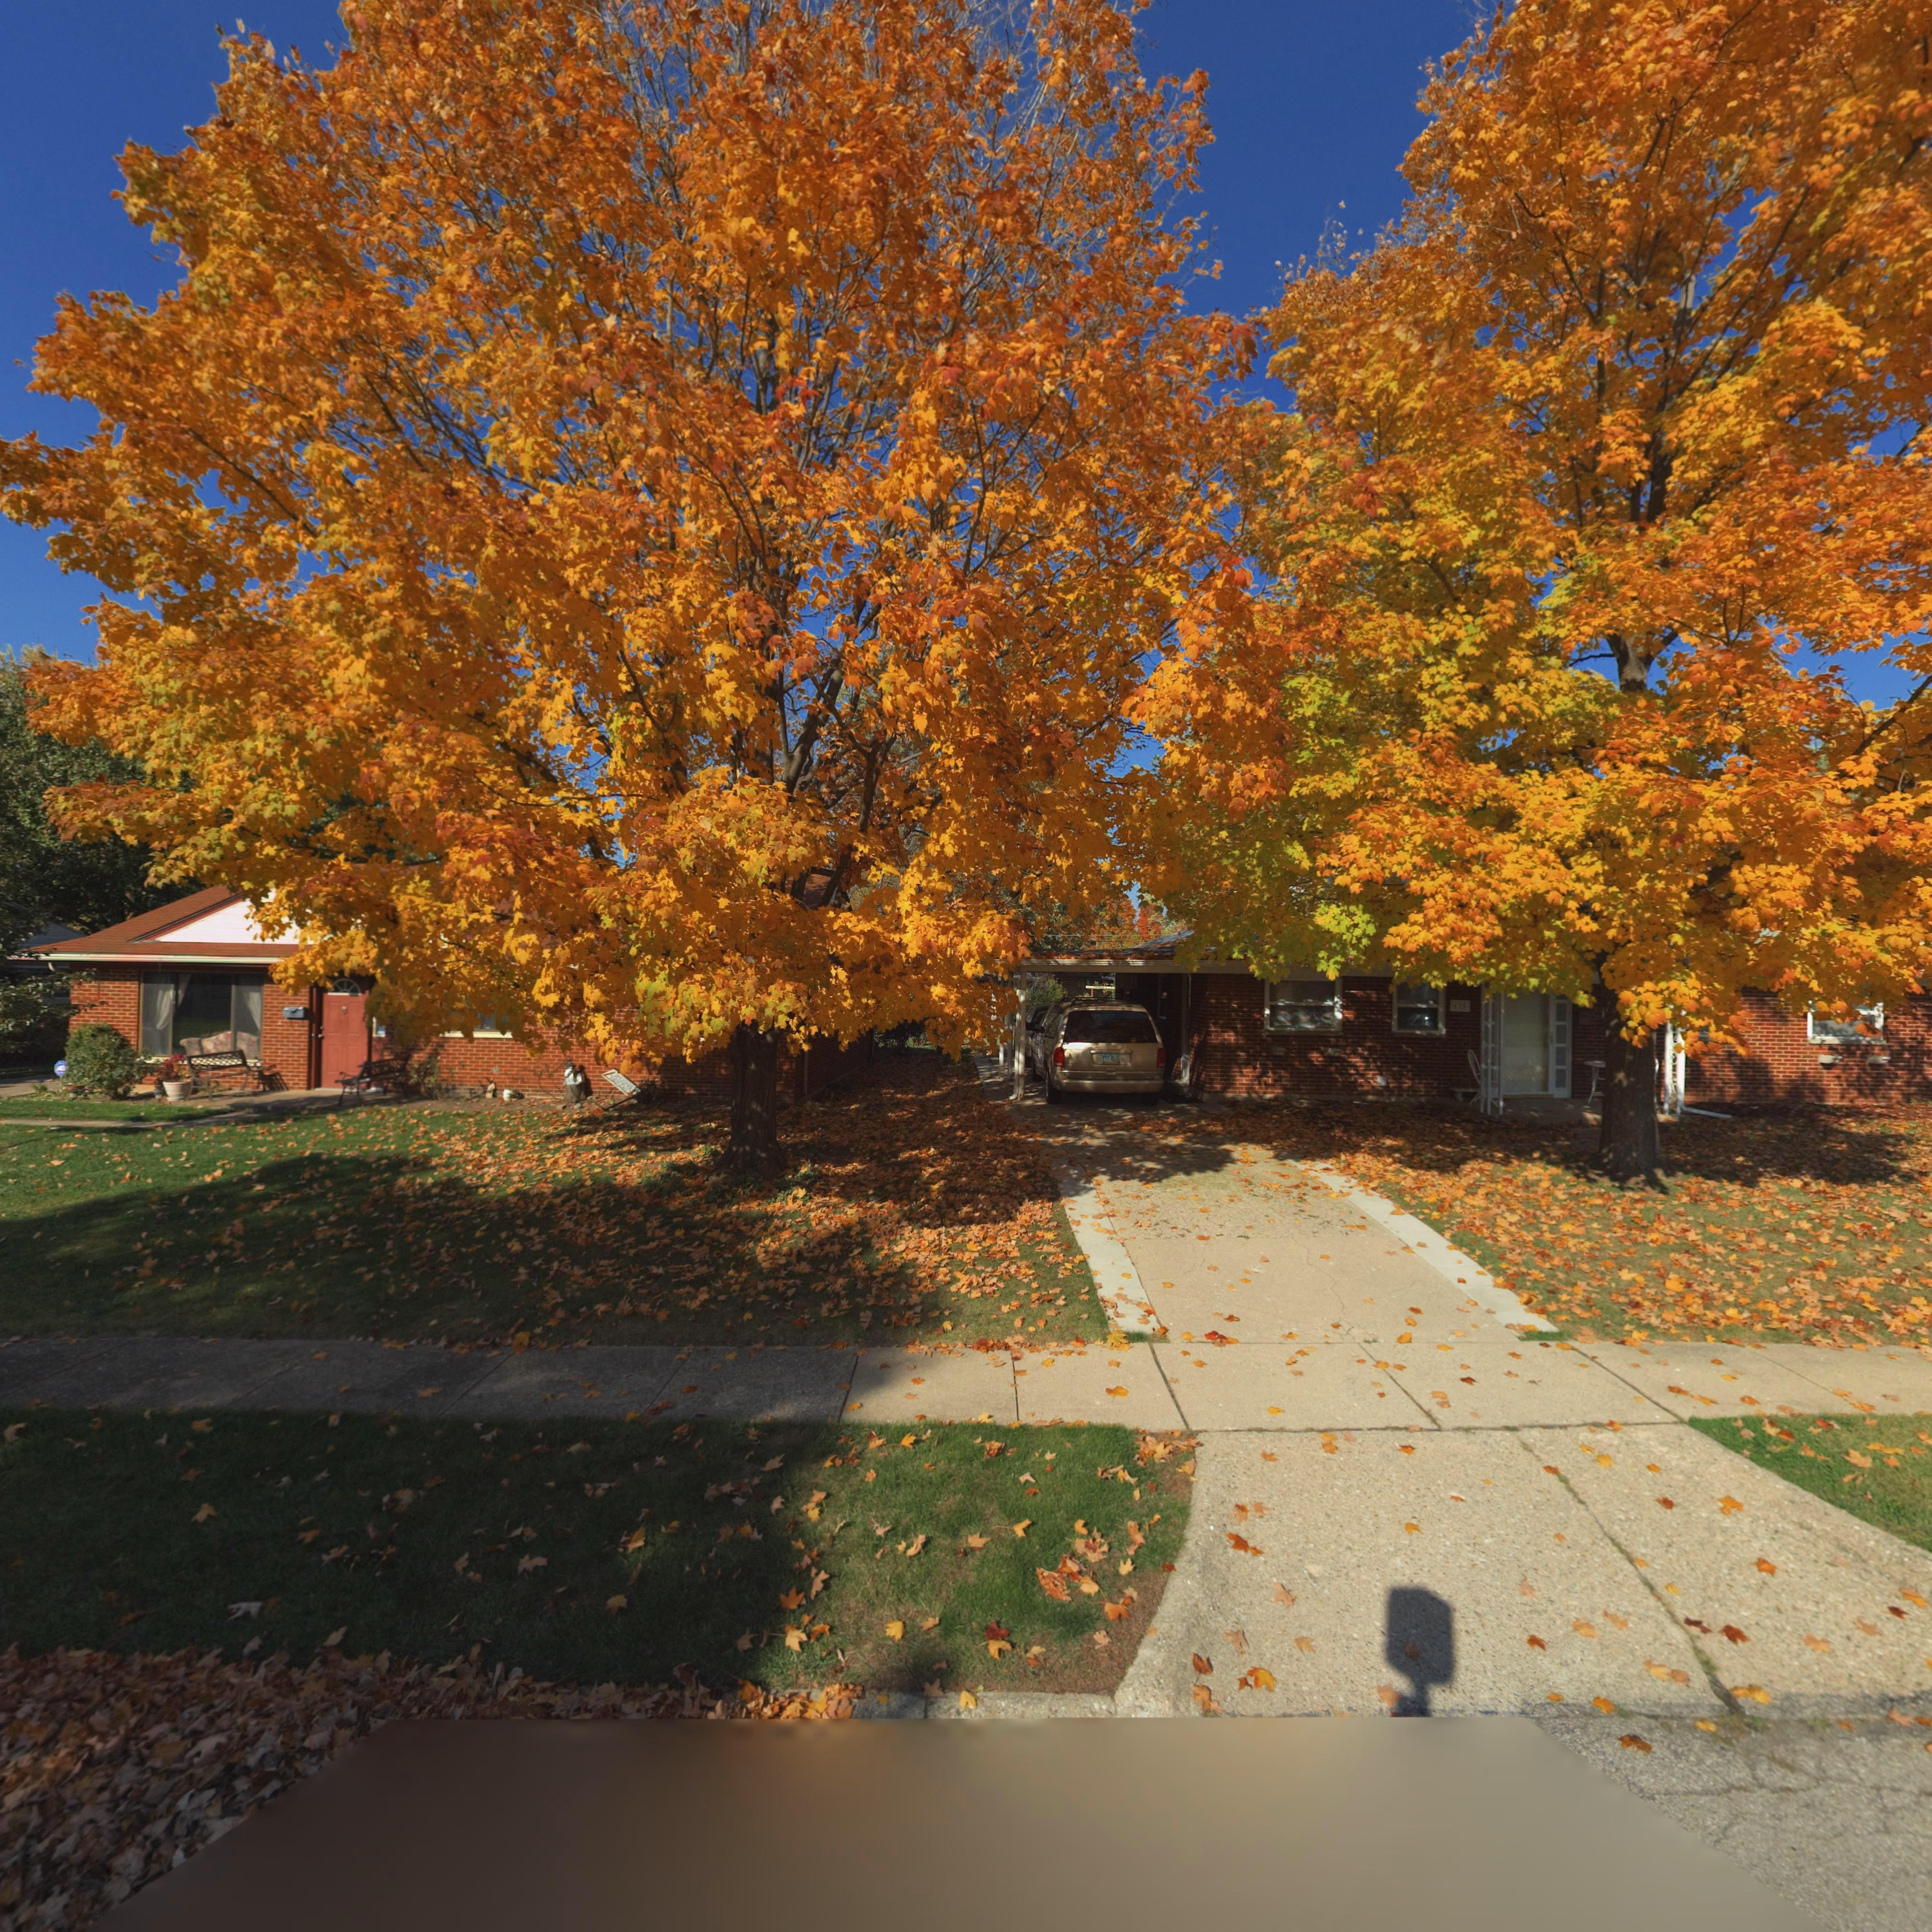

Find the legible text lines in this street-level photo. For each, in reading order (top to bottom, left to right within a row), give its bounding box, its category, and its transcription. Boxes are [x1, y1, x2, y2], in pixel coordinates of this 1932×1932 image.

[1454, 1003, 1466, 1009] StreetNumber: 625
[1102, 1055, 1120, 1062] None: EST*4*4*
[56, 1064, 66, 1072] None: AD